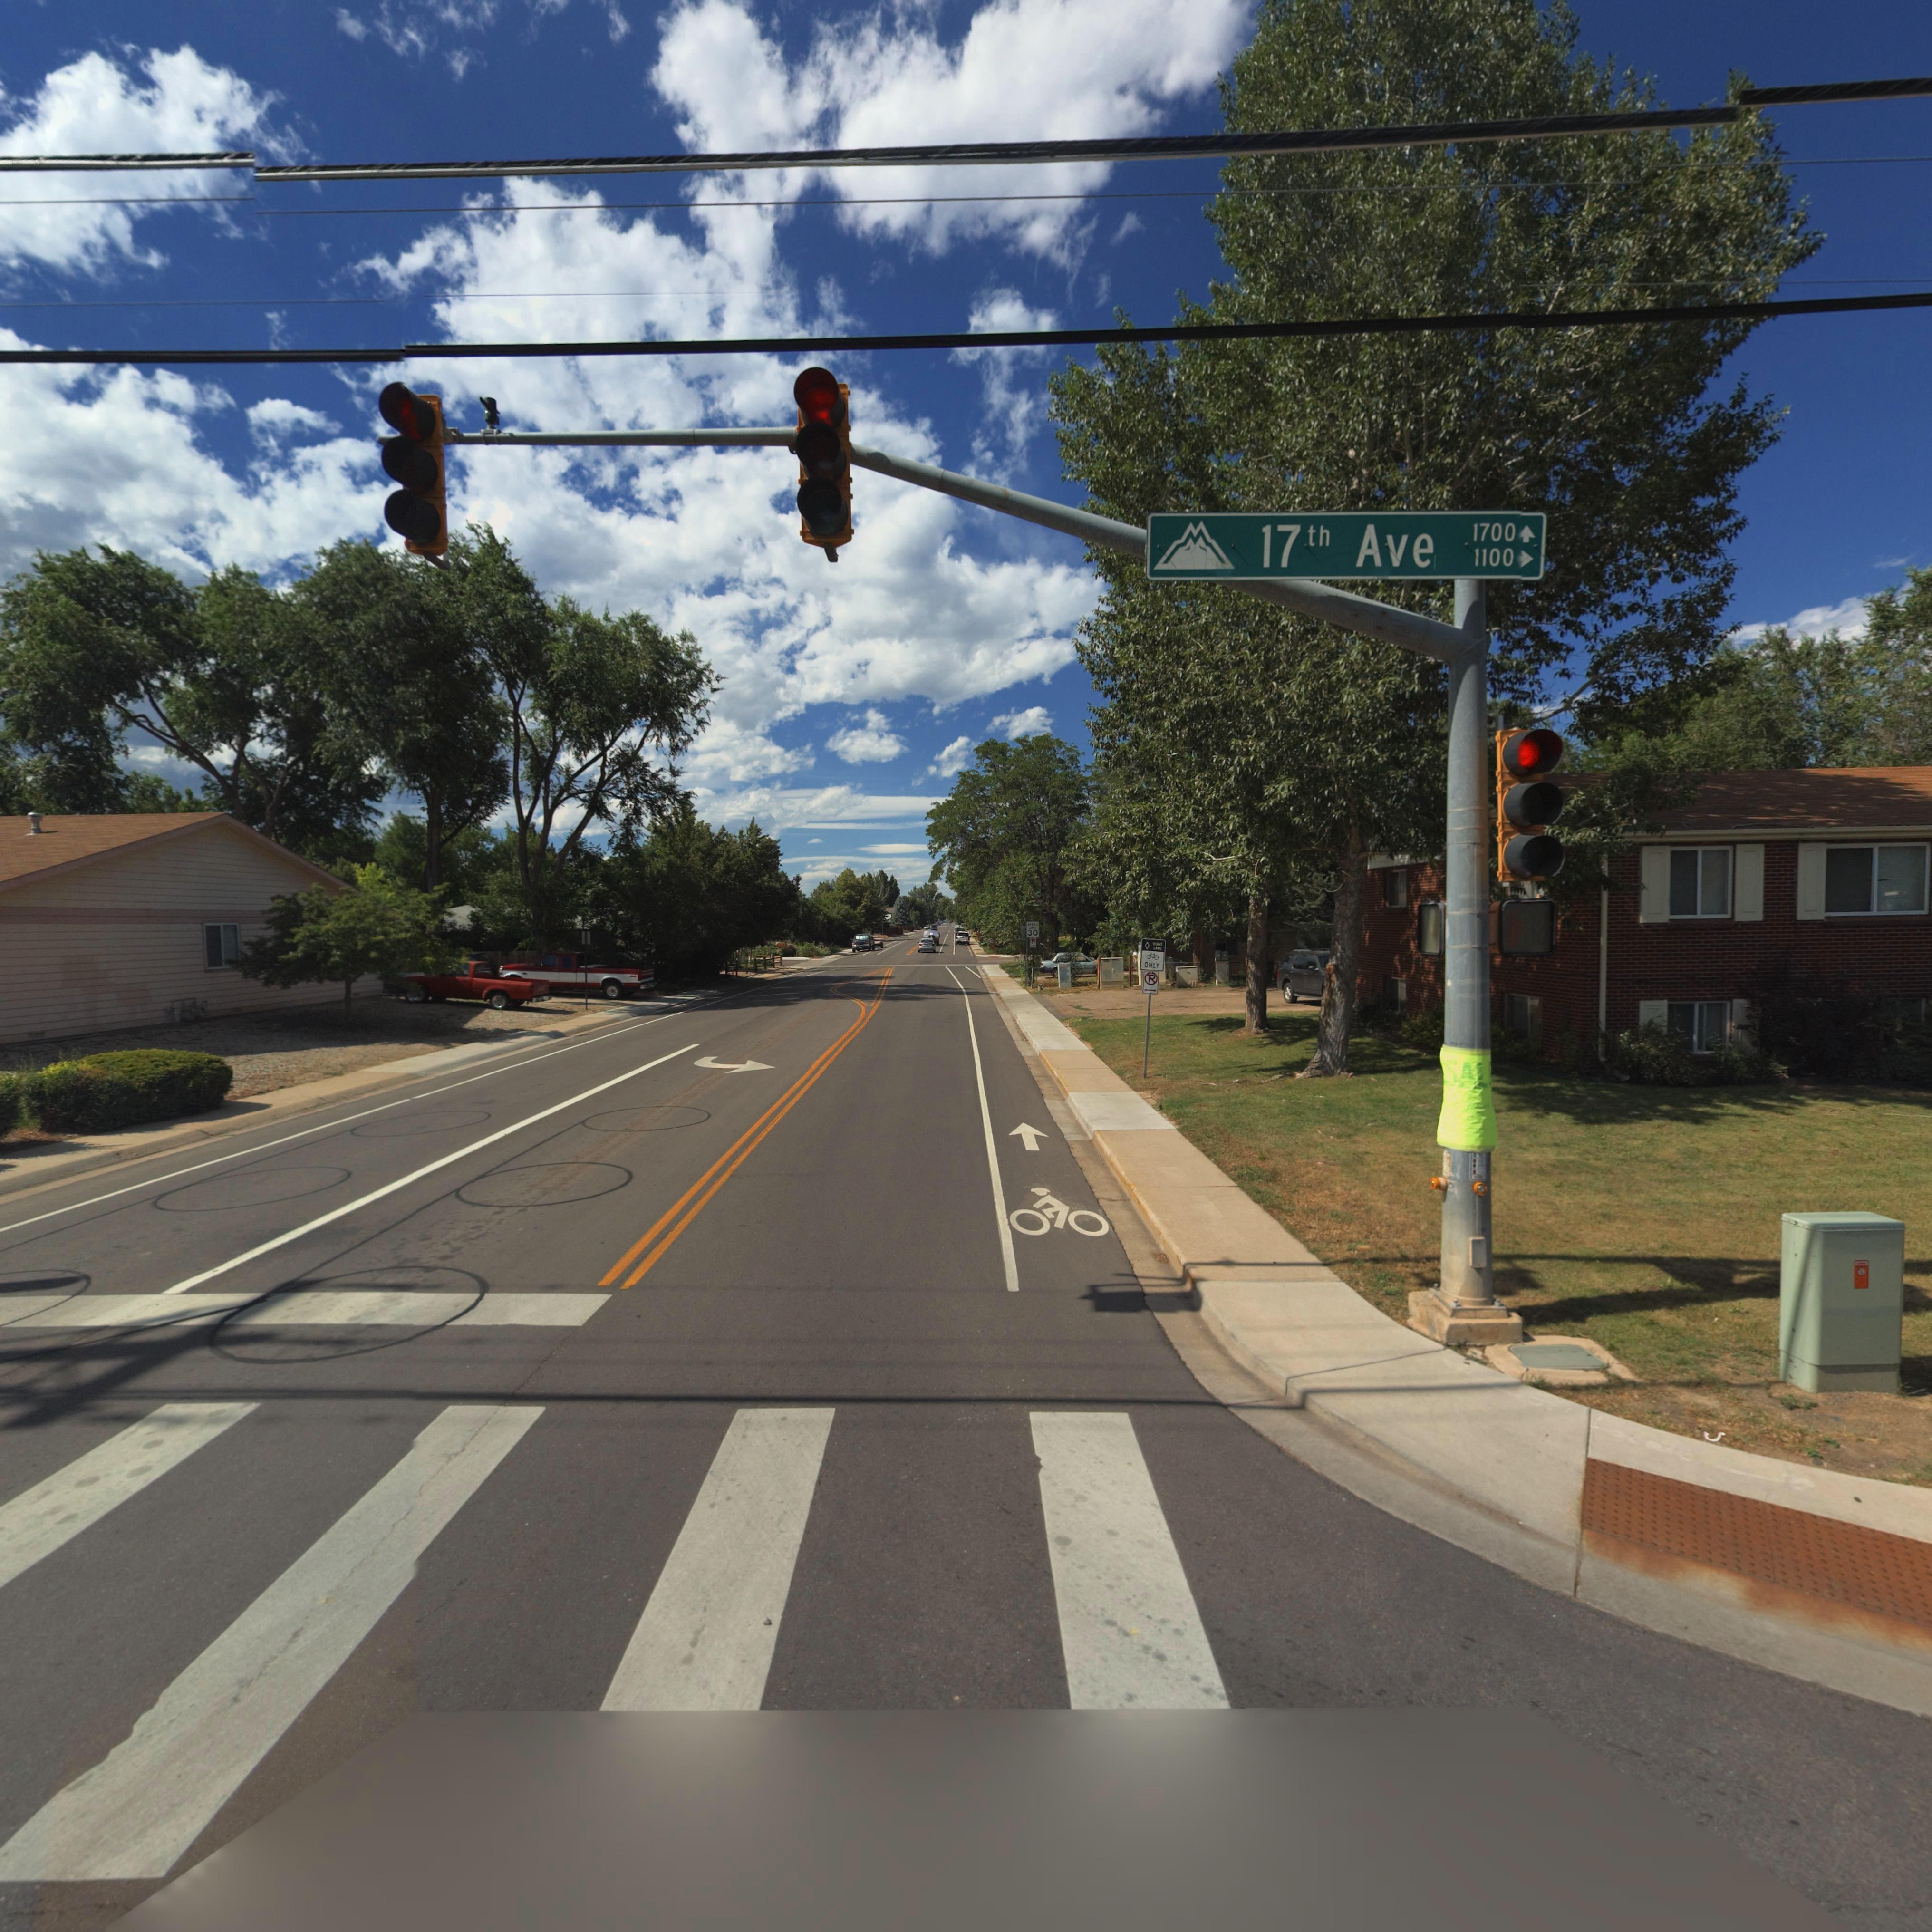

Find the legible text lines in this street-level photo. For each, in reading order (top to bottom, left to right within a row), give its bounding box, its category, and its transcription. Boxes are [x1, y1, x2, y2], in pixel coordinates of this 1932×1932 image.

[1473, 522, 1516, 542] StreetNumberRange: 1700
[1260, 523, 1434, 569] StreetName: 17th Ave
[1474, 547, 1534, 568] StreetNumberRange: 1100 ->